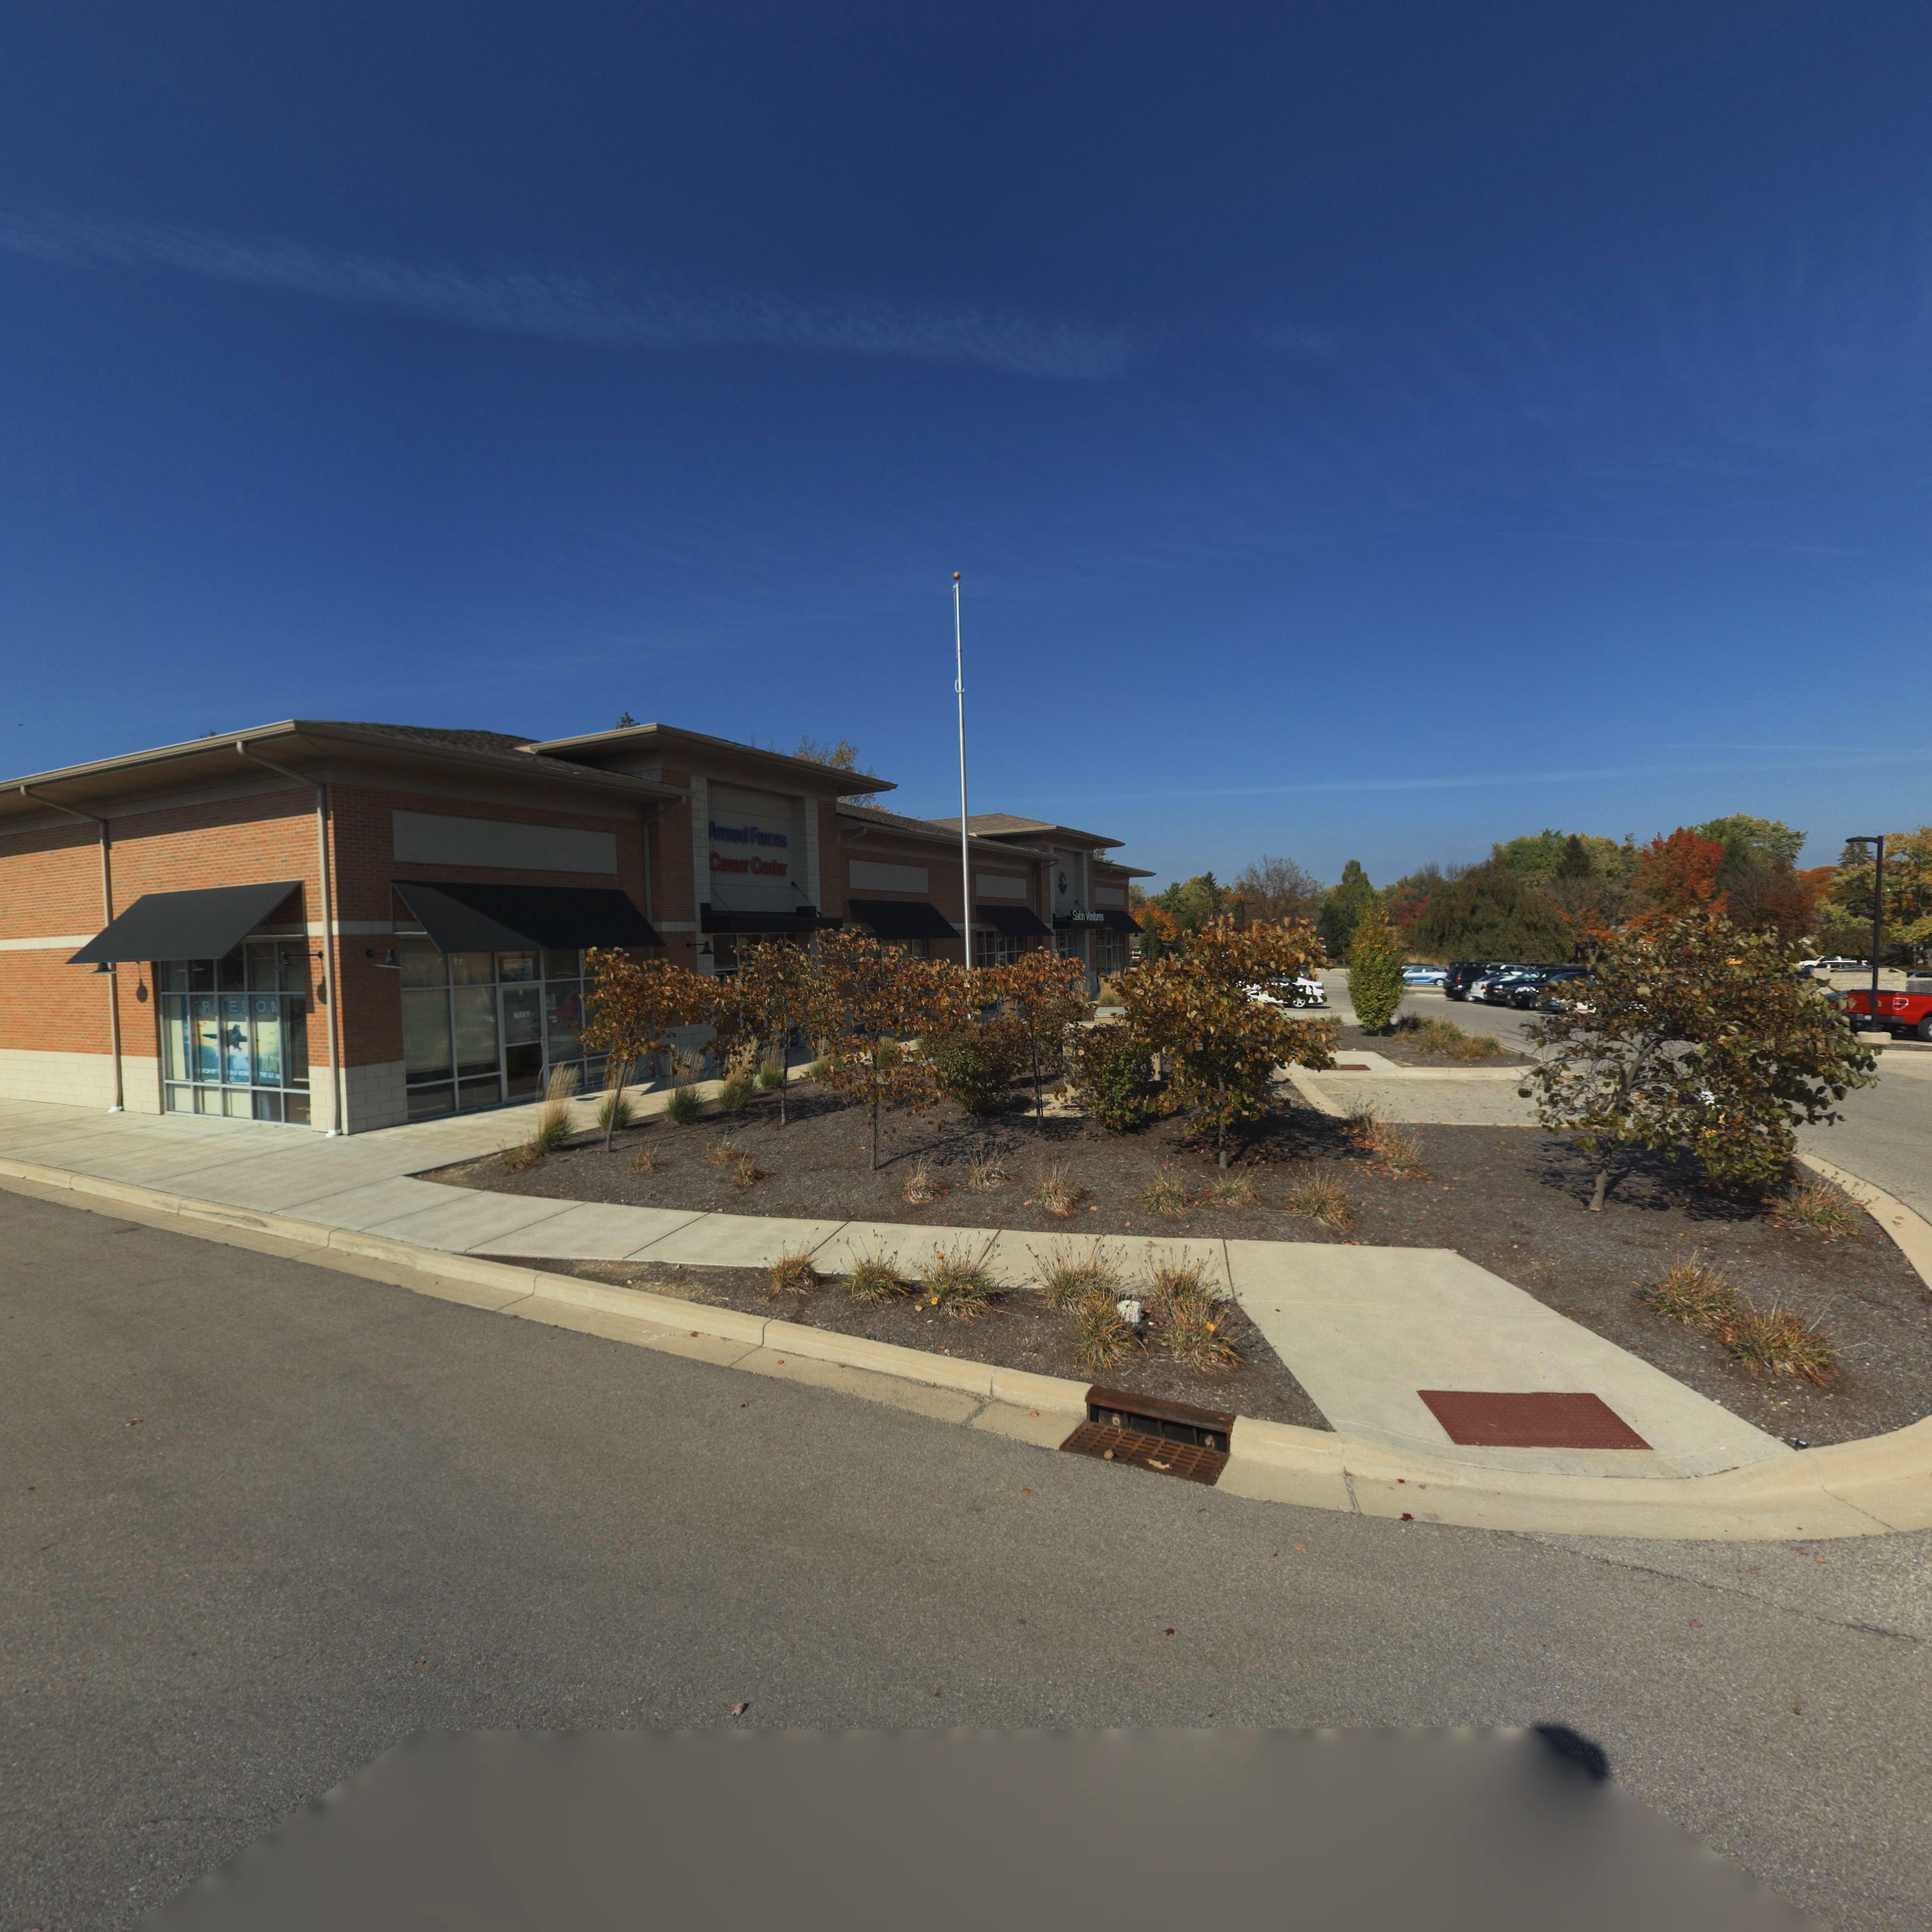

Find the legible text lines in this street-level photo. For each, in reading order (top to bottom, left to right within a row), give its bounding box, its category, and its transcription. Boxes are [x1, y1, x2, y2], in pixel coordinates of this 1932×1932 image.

[707, 820, 790, 849] BusinessName: Armed Fo*c*s
[709, 851, 790, 877] BusinessName: Career Center